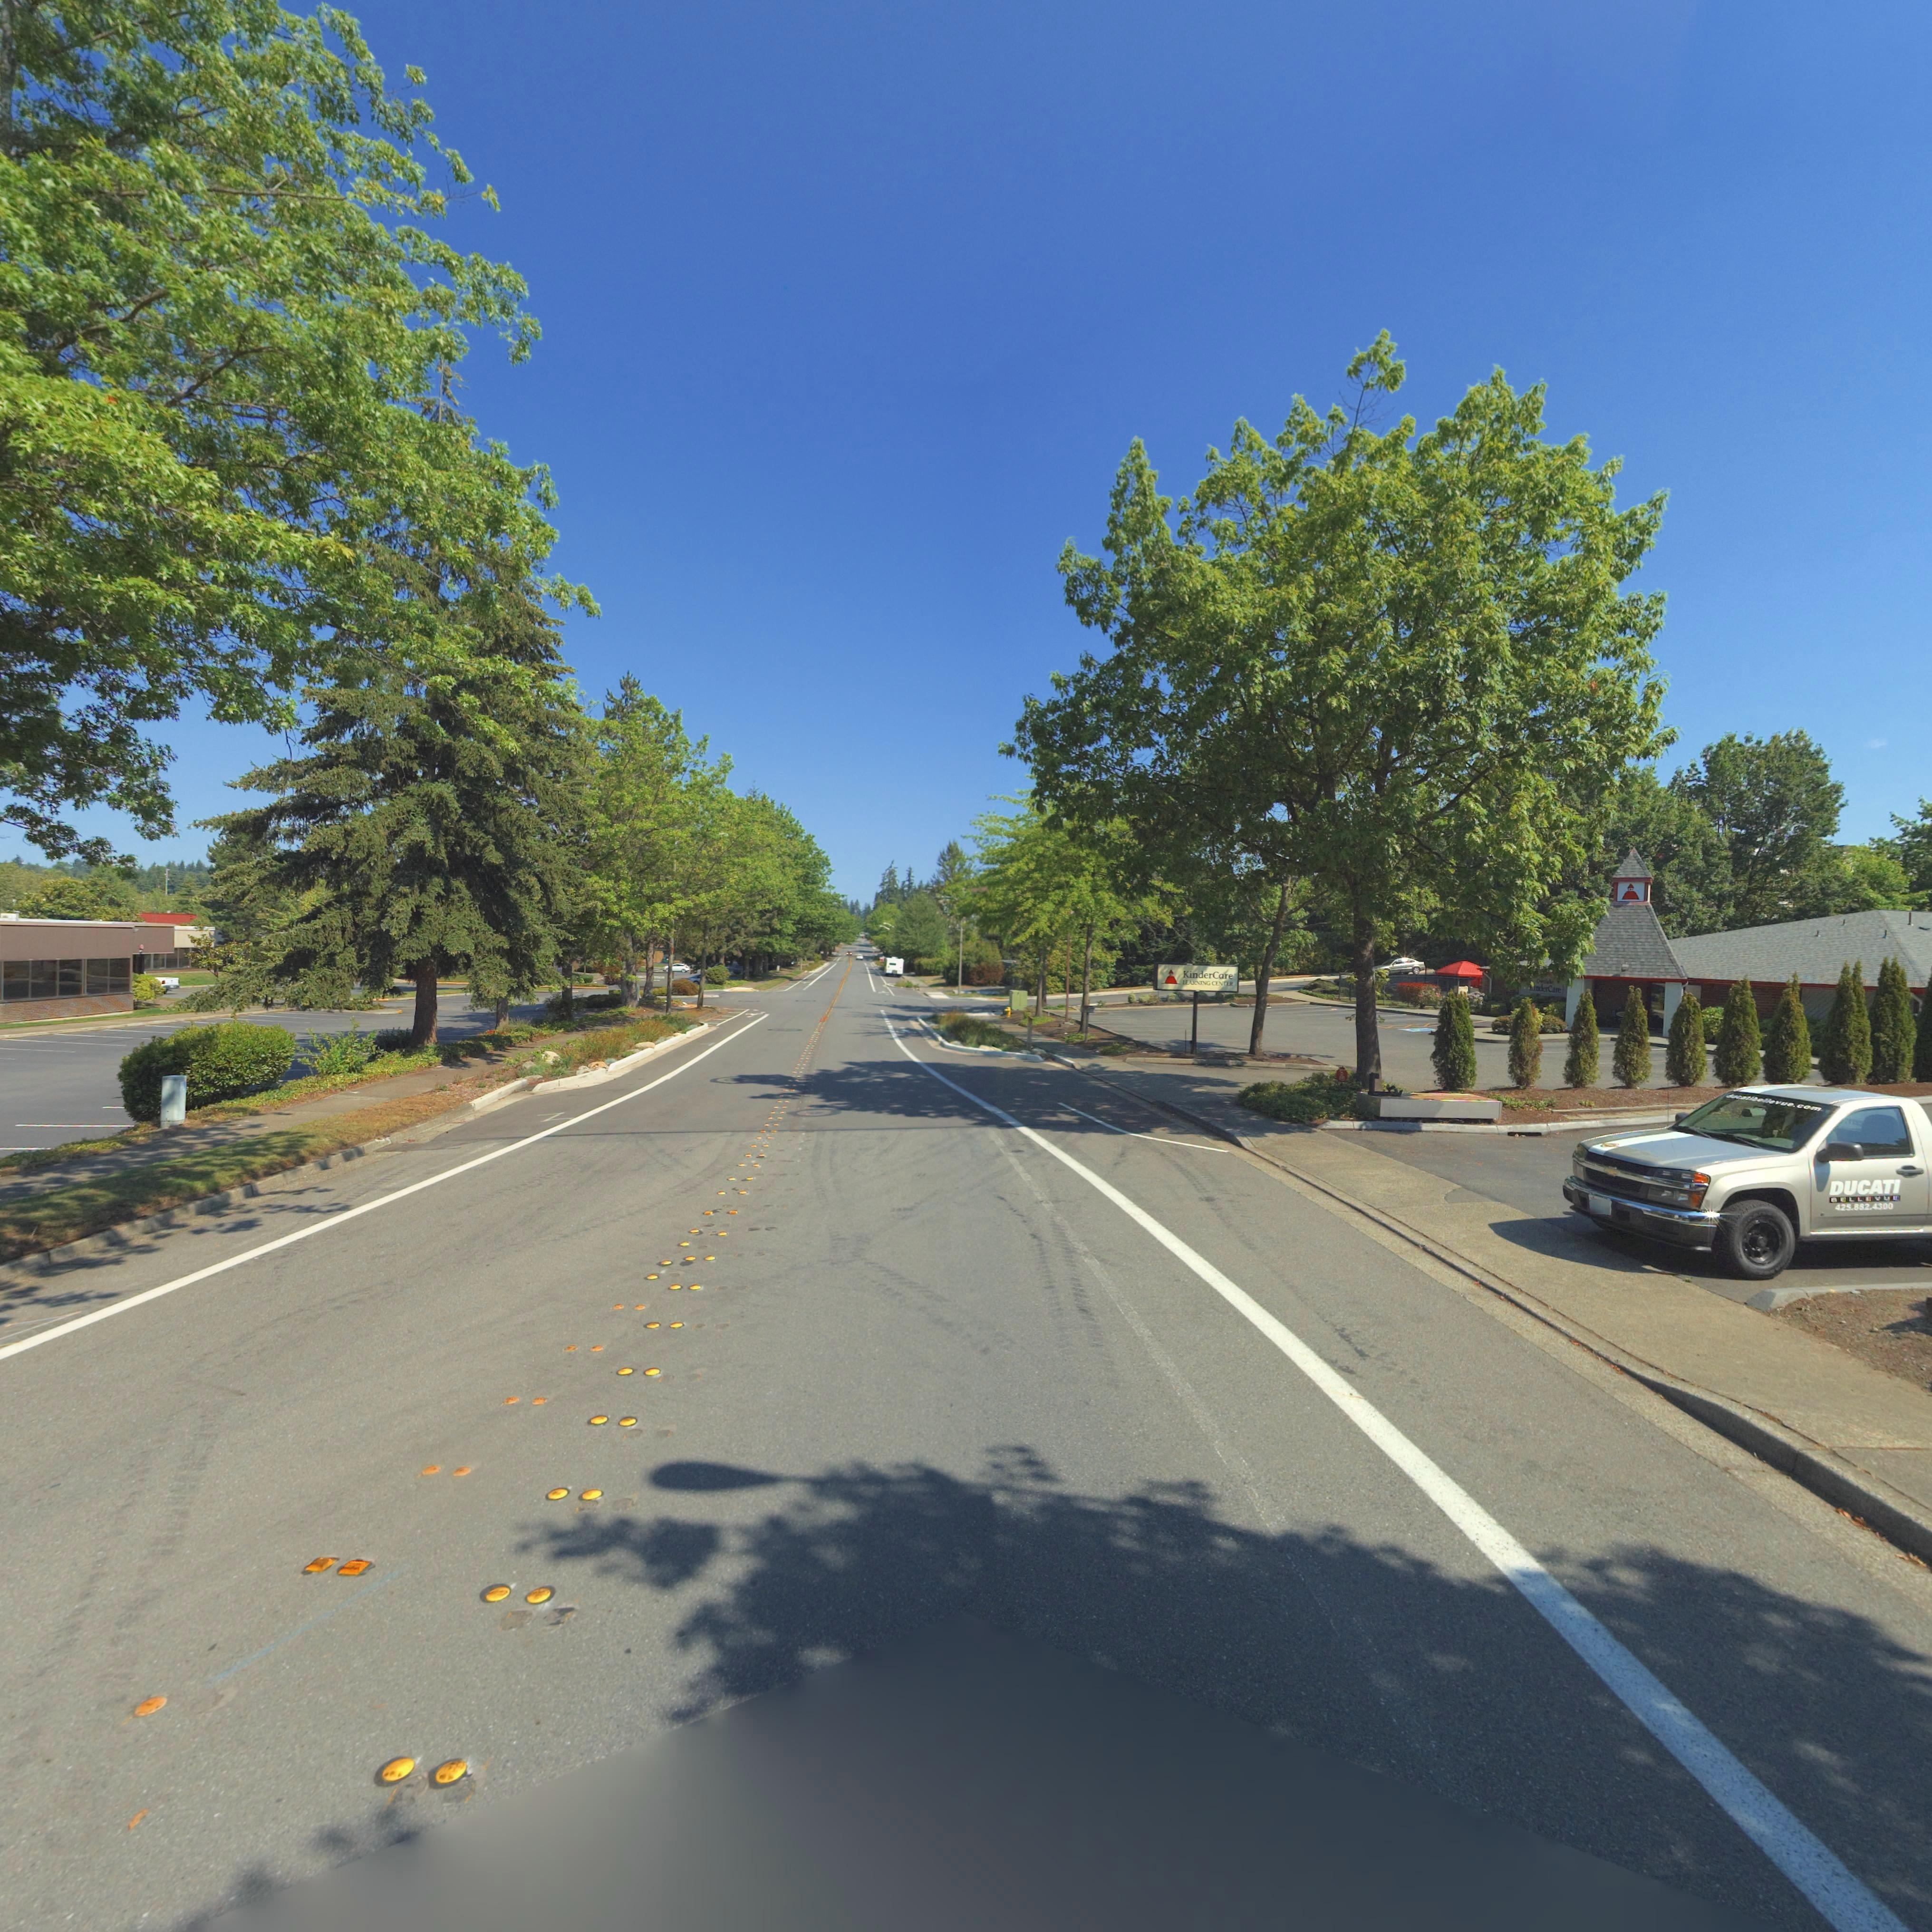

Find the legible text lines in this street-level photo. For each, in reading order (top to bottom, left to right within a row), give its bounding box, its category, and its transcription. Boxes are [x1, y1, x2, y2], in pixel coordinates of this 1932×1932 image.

[1183, 970, 1233, 979] BusinessName: KinderCare
[1182, 980, 1233, 986] BusinessName: LEARNING CENTER